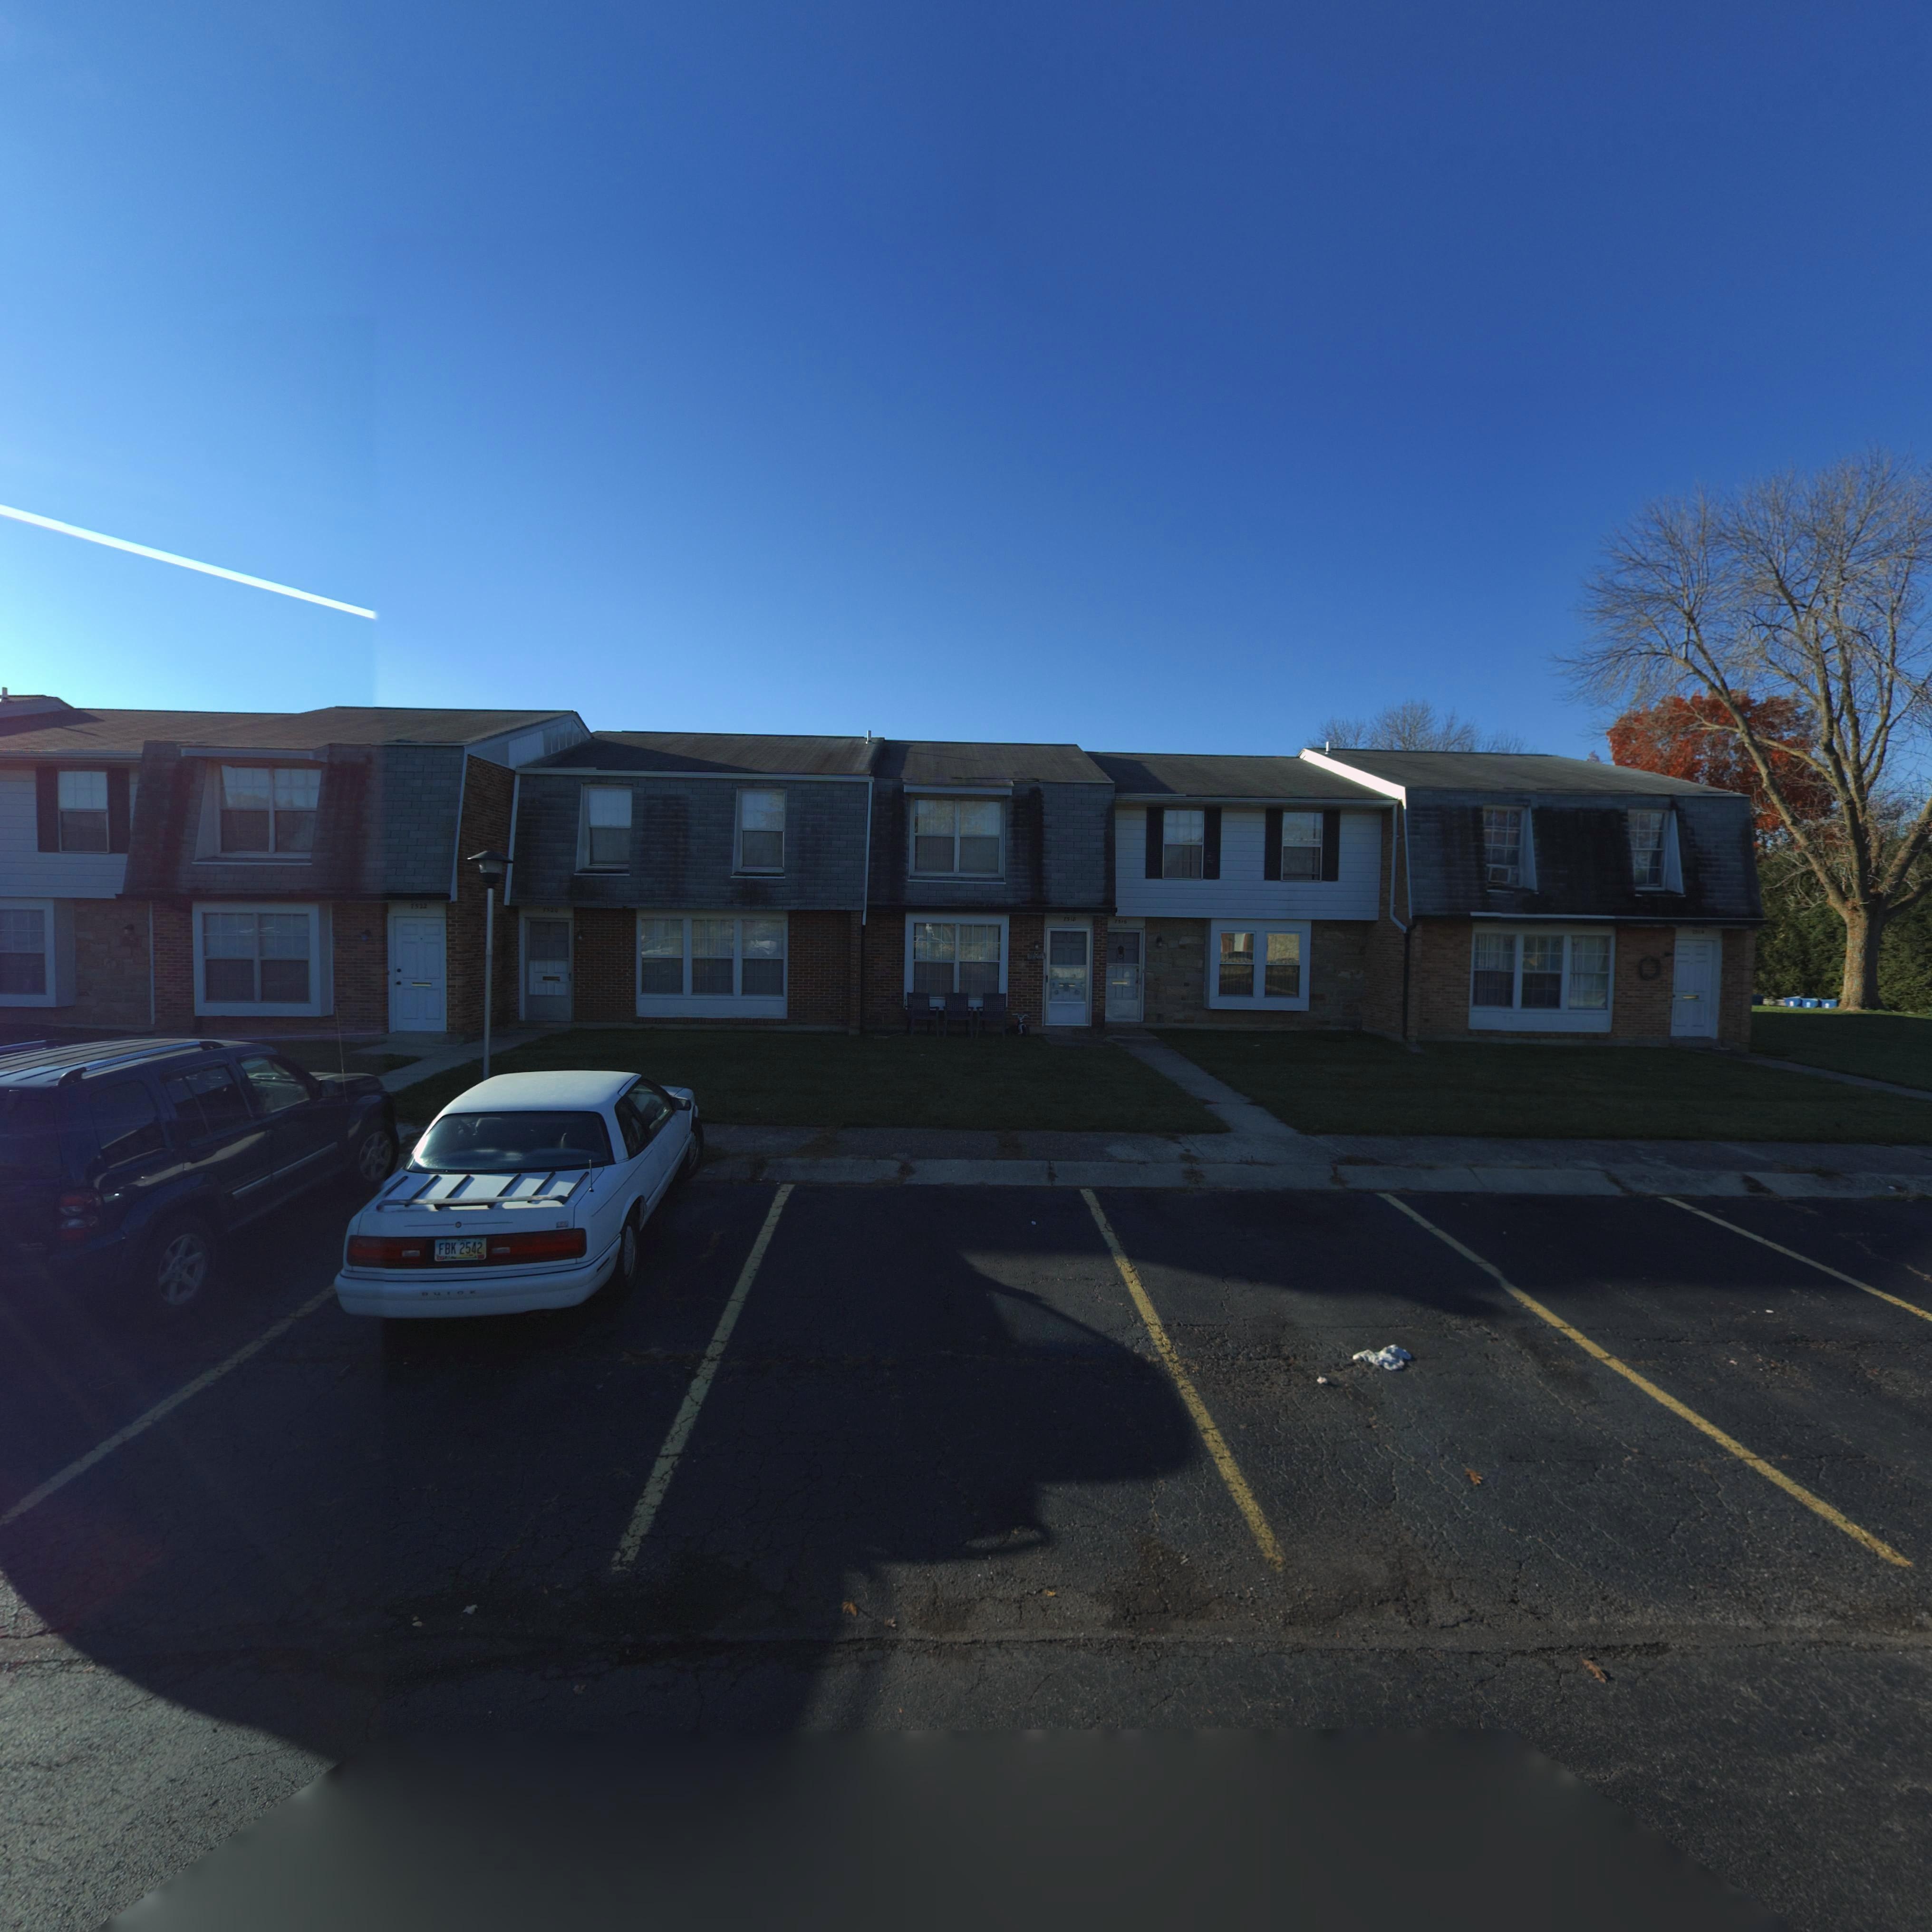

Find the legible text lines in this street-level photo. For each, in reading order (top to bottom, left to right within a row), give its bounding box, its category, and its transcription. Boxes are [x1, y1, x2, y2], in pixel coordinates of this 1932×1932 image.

[409, 902, 429, 910] StreetNumber: 7522
[542, 906, 560, 914] StreetNumber: 7520
[1062, 916, 1078, 923] StreetNumber: 751*
[1113, 918, 1129, 925] StreetNumber: 7516